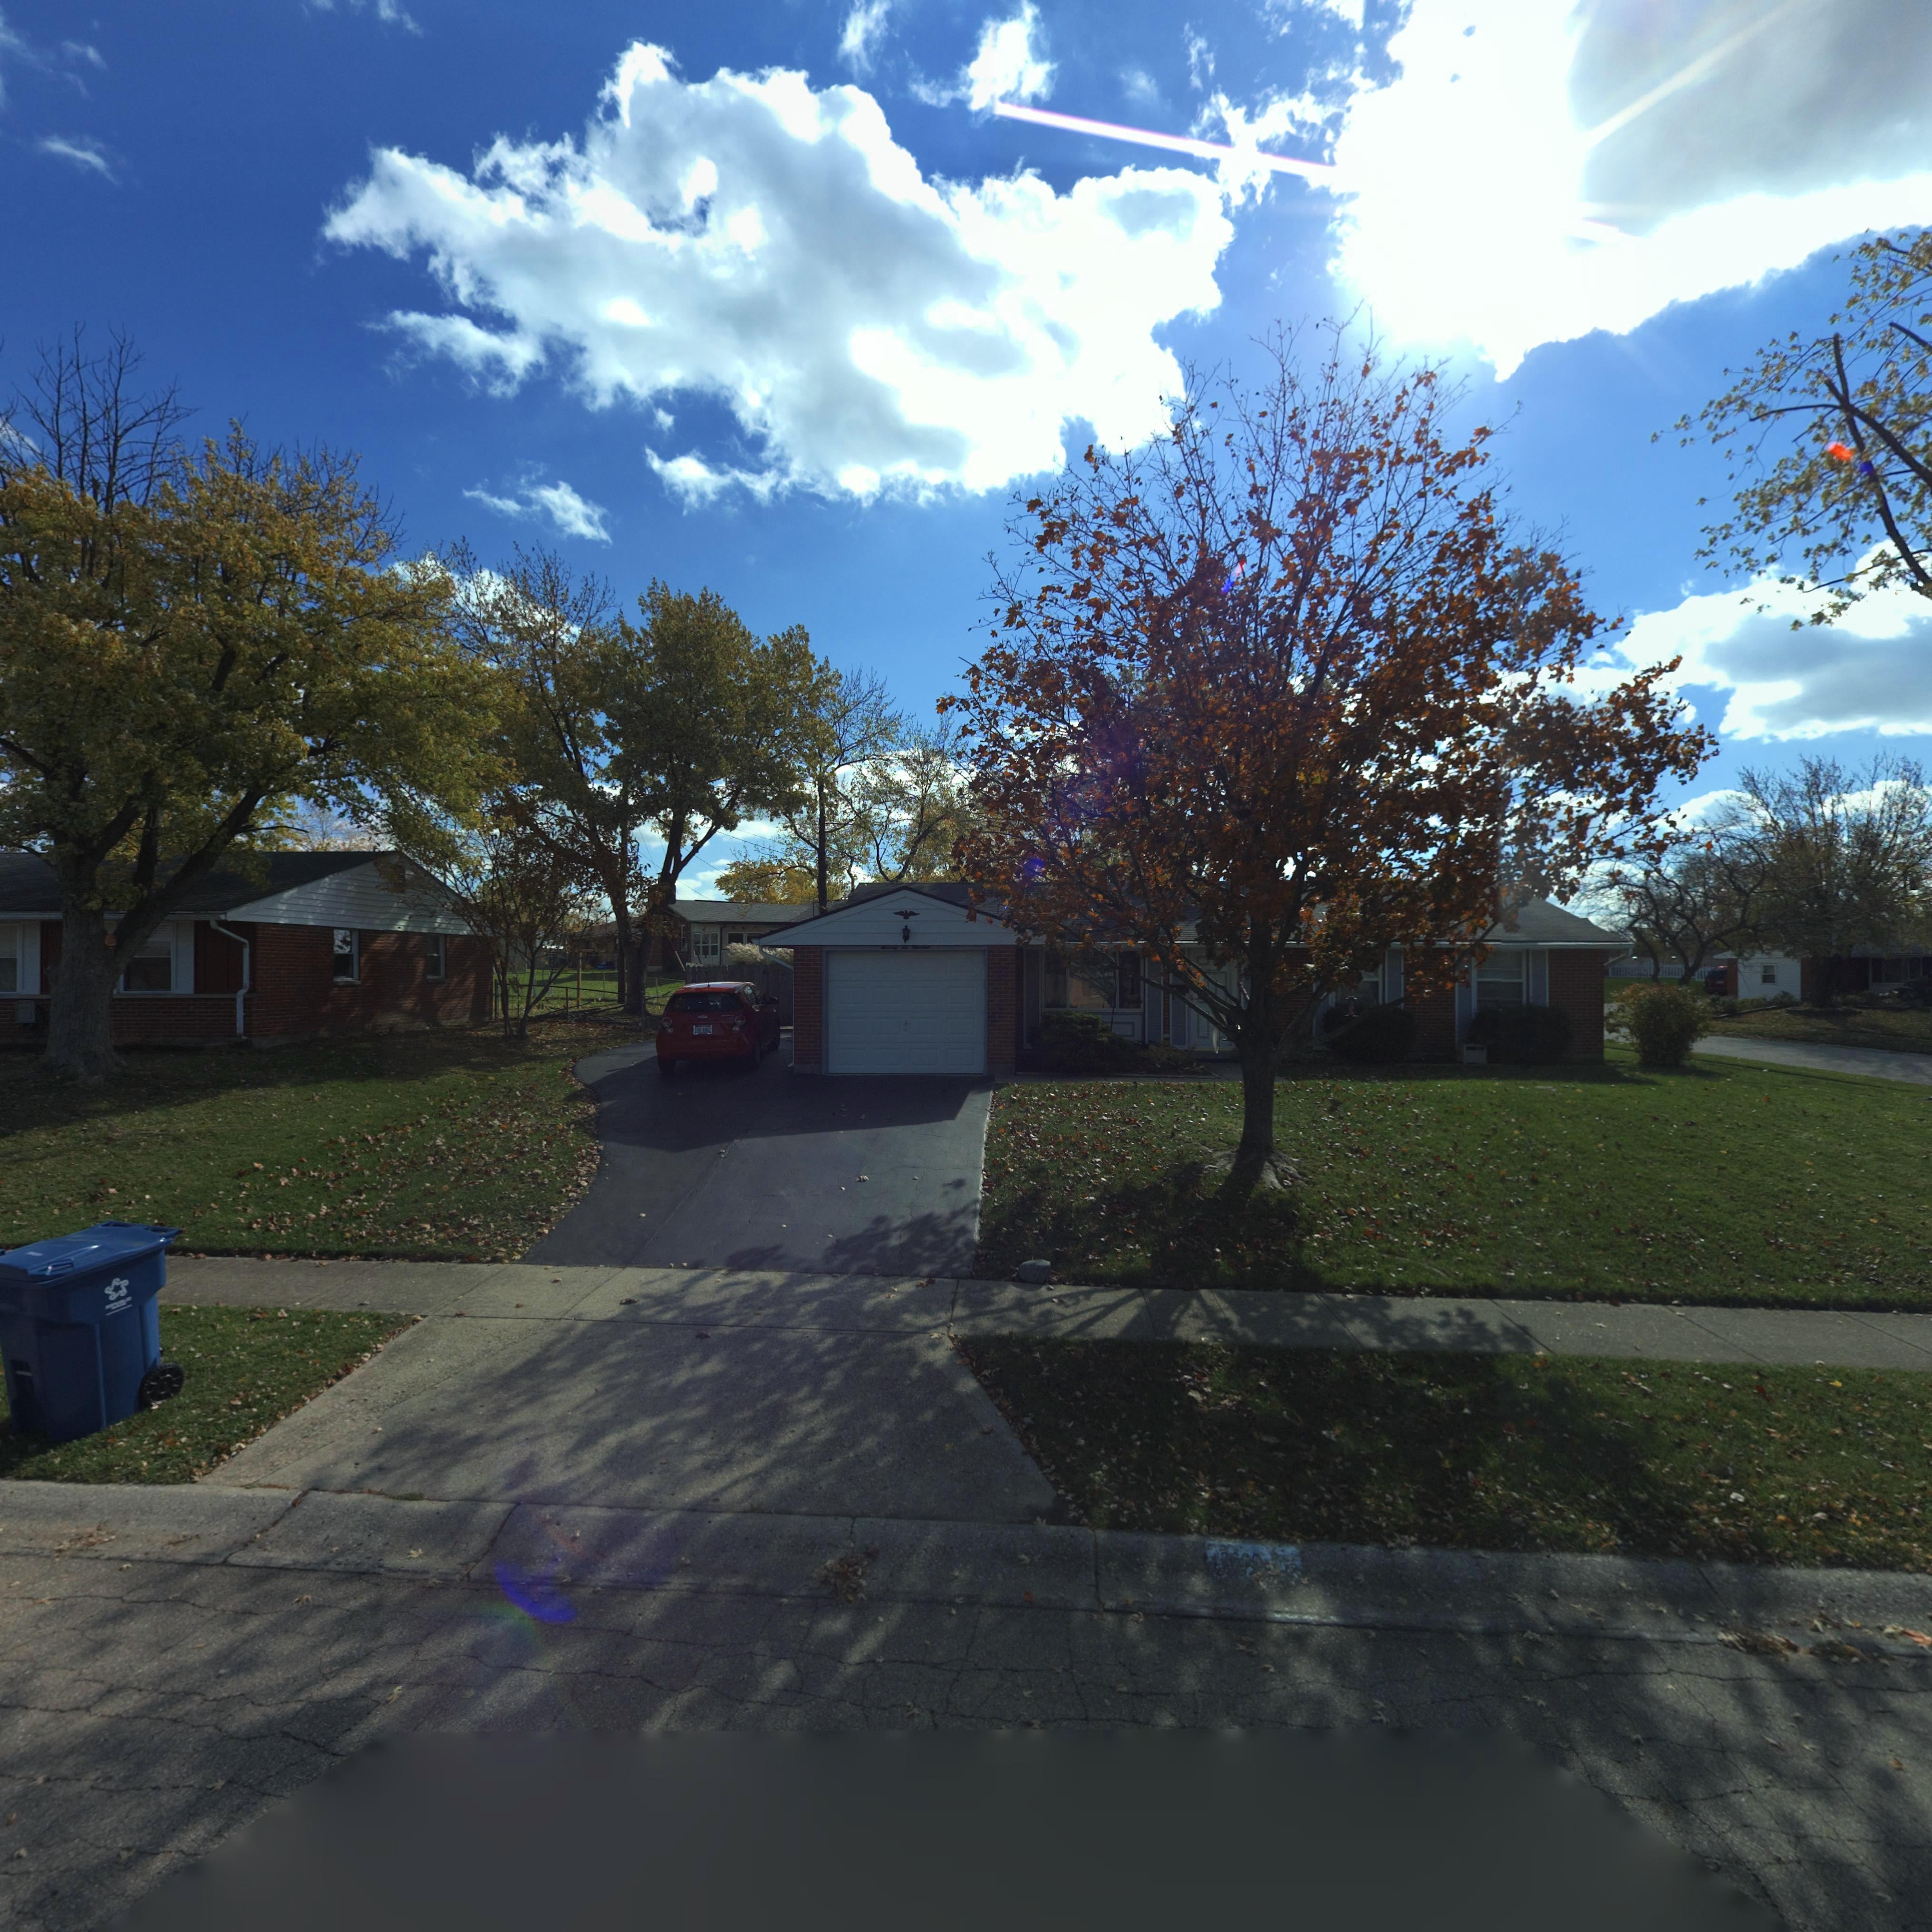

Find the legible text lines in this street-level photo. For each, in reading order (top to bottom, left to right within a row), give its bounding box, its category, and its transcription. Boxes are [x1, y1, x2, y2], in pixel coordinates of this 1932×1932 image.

[880, 945, 931, 951] StreetNumber: Seventy Six Hundred
[1219, 1551, 1264, 1570] StreetNumber: 7600